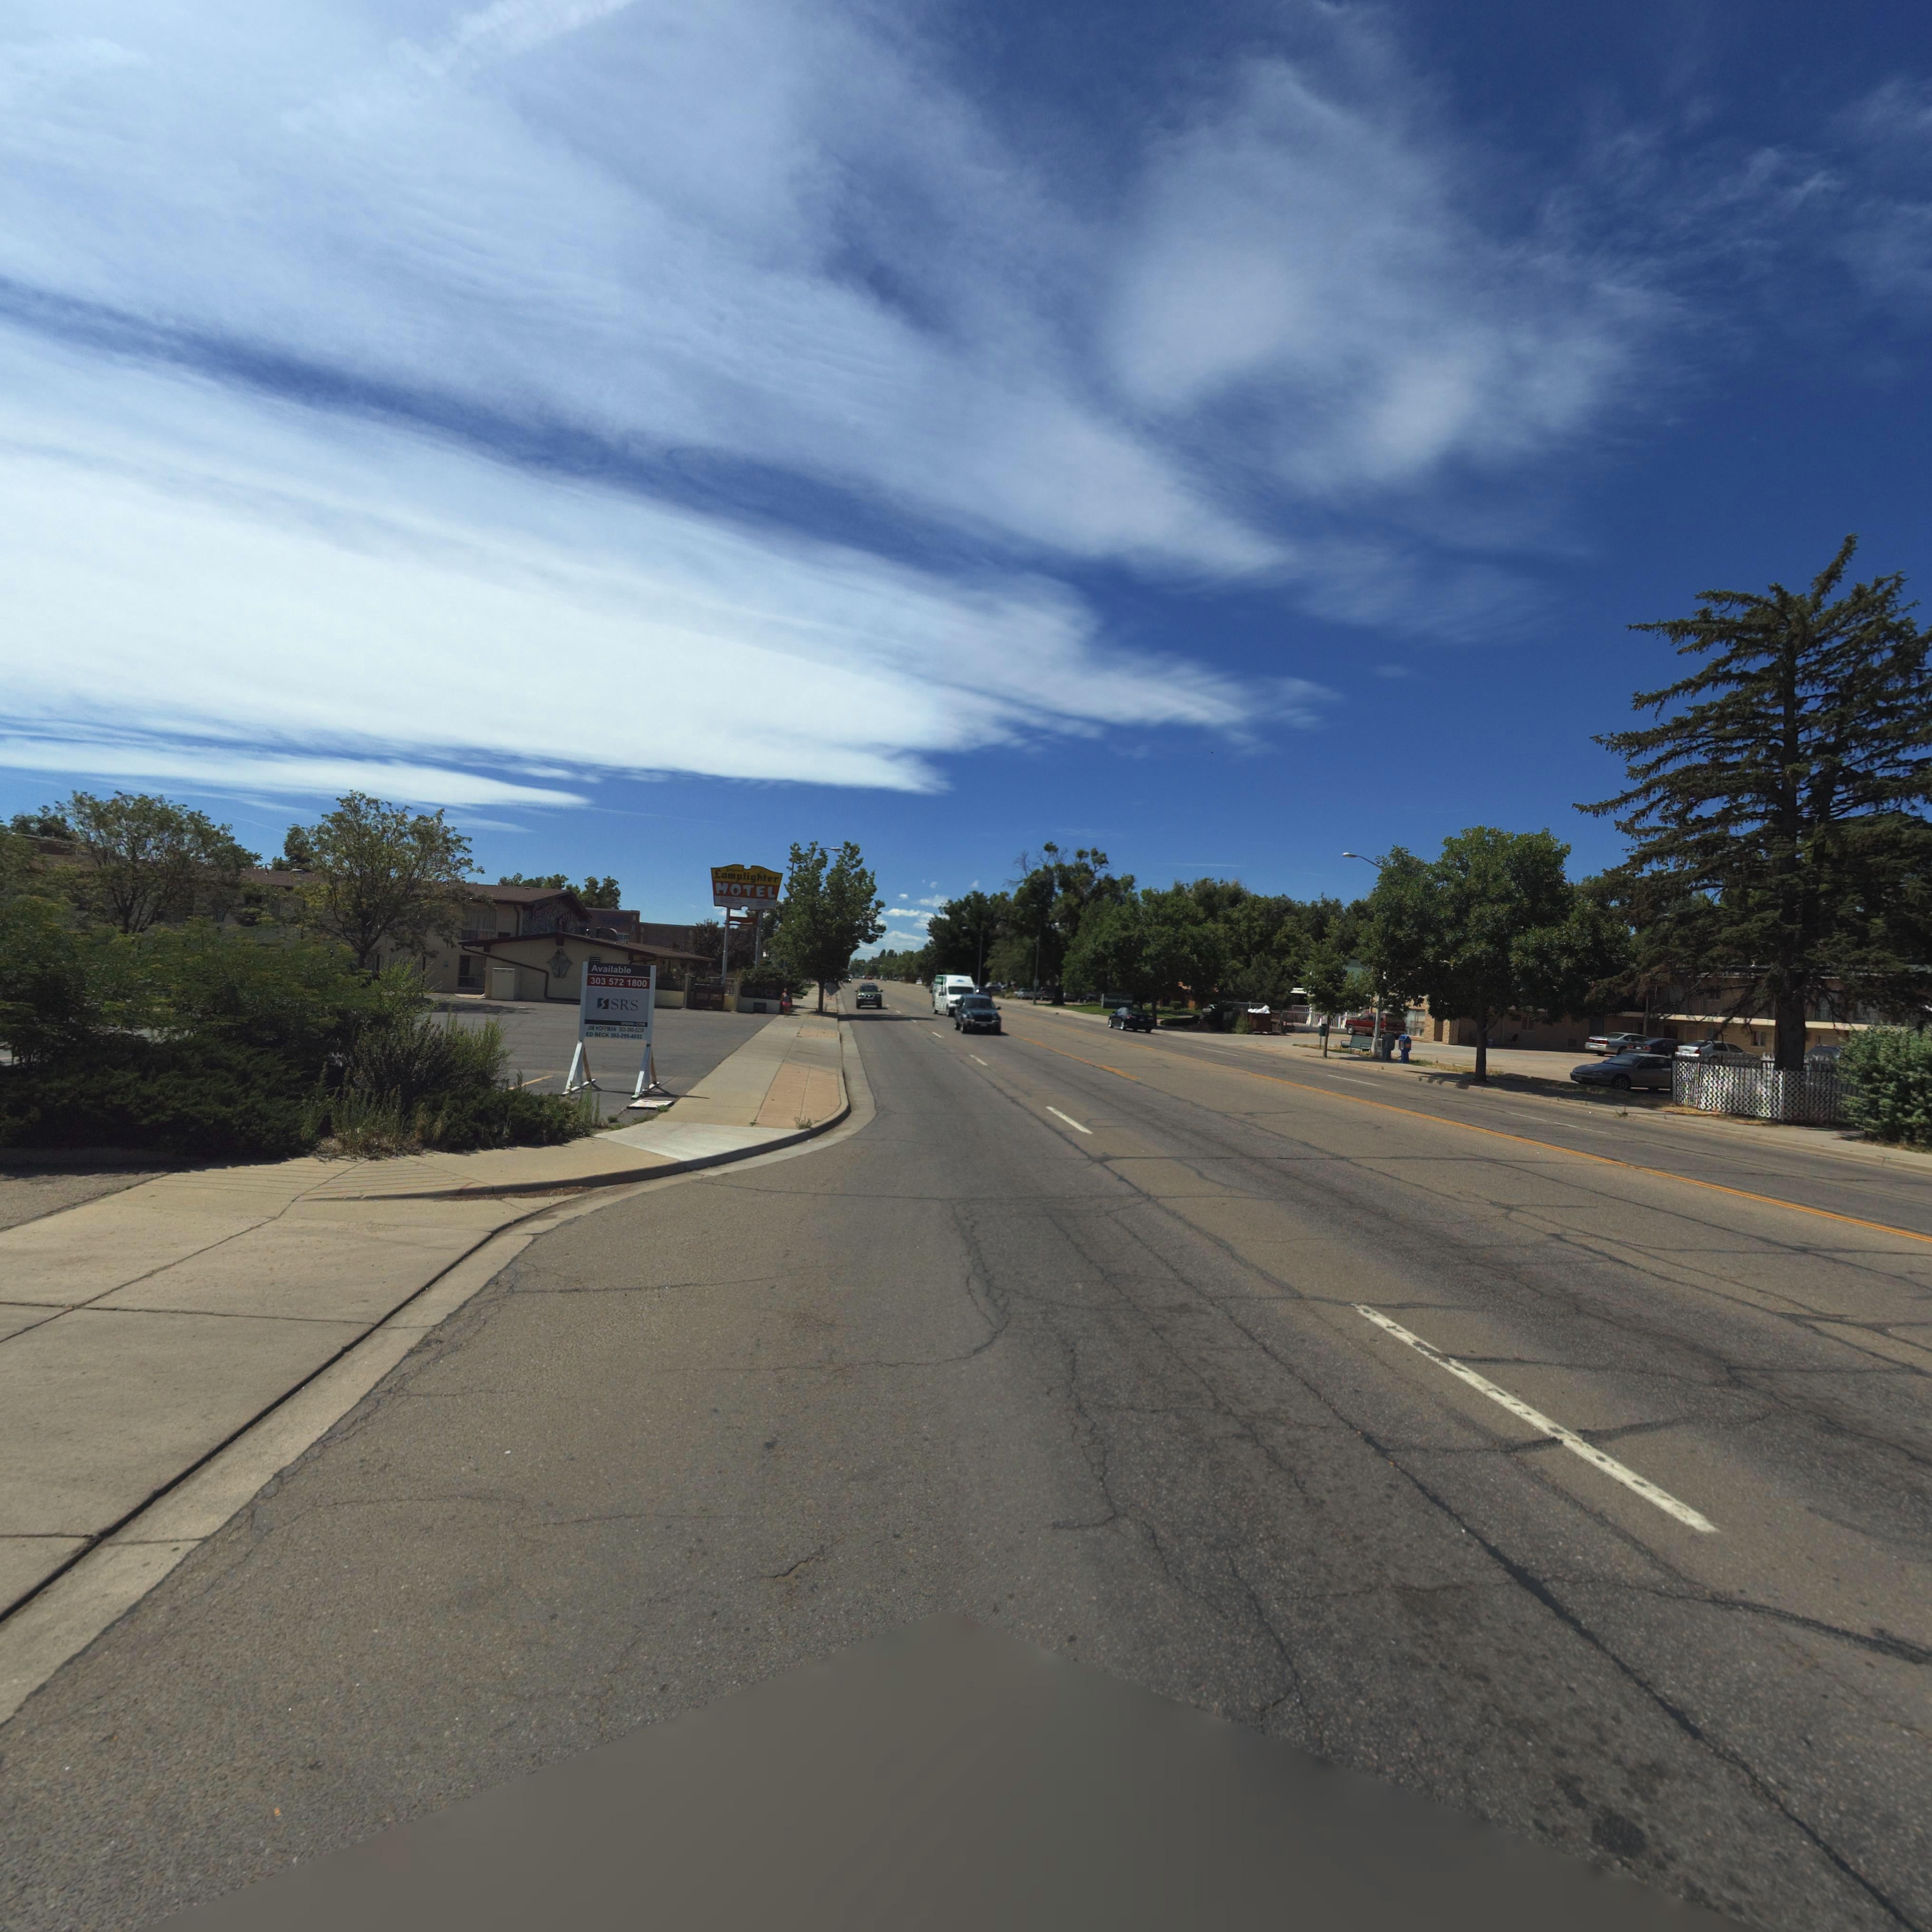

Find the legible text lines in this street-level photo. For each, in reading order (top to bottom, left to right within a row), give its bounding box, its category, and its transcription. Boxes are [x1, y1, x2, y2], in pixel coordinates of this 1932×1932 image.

[714, 869, 779, 883] BusinessName: Lamplighter
[715, 882, 775, 898] BusinessName: MOTEL
[559, 911, 574, 928] BusinessName: **T**
[1104, 997, 1132, 1004] BusinessName: ******* C******